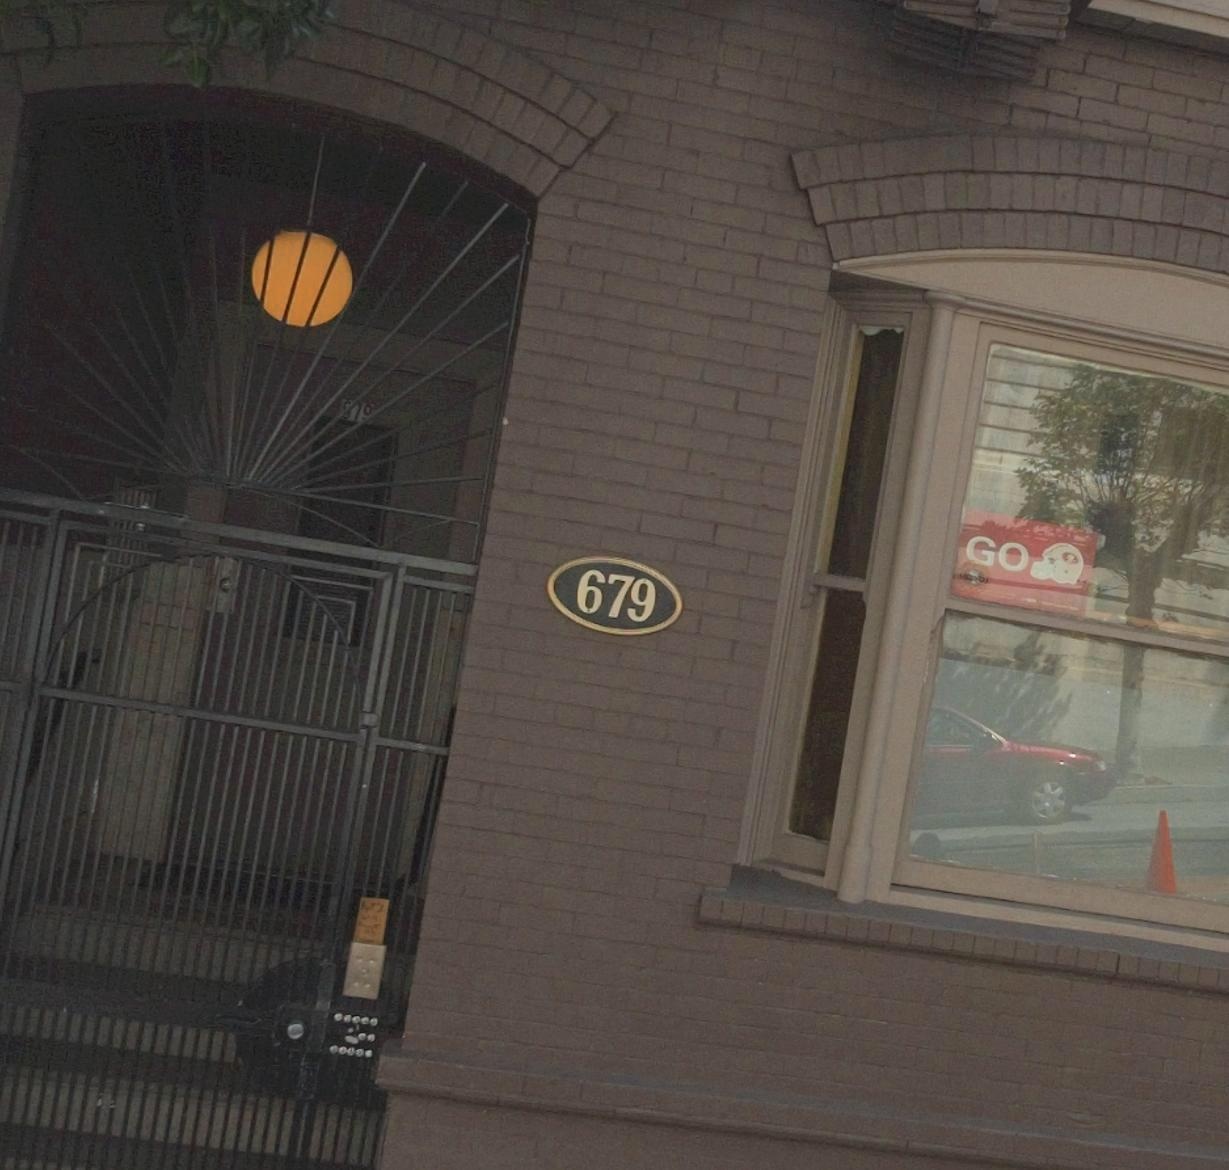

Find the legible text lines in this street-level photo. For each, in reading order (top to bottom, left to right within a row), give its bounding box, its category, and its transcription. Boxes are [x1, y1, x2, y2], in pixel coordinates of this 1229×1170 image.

[963, 531, 1035, 578] None: GO
[570, 564, 661, 627] StreetNumber: 679